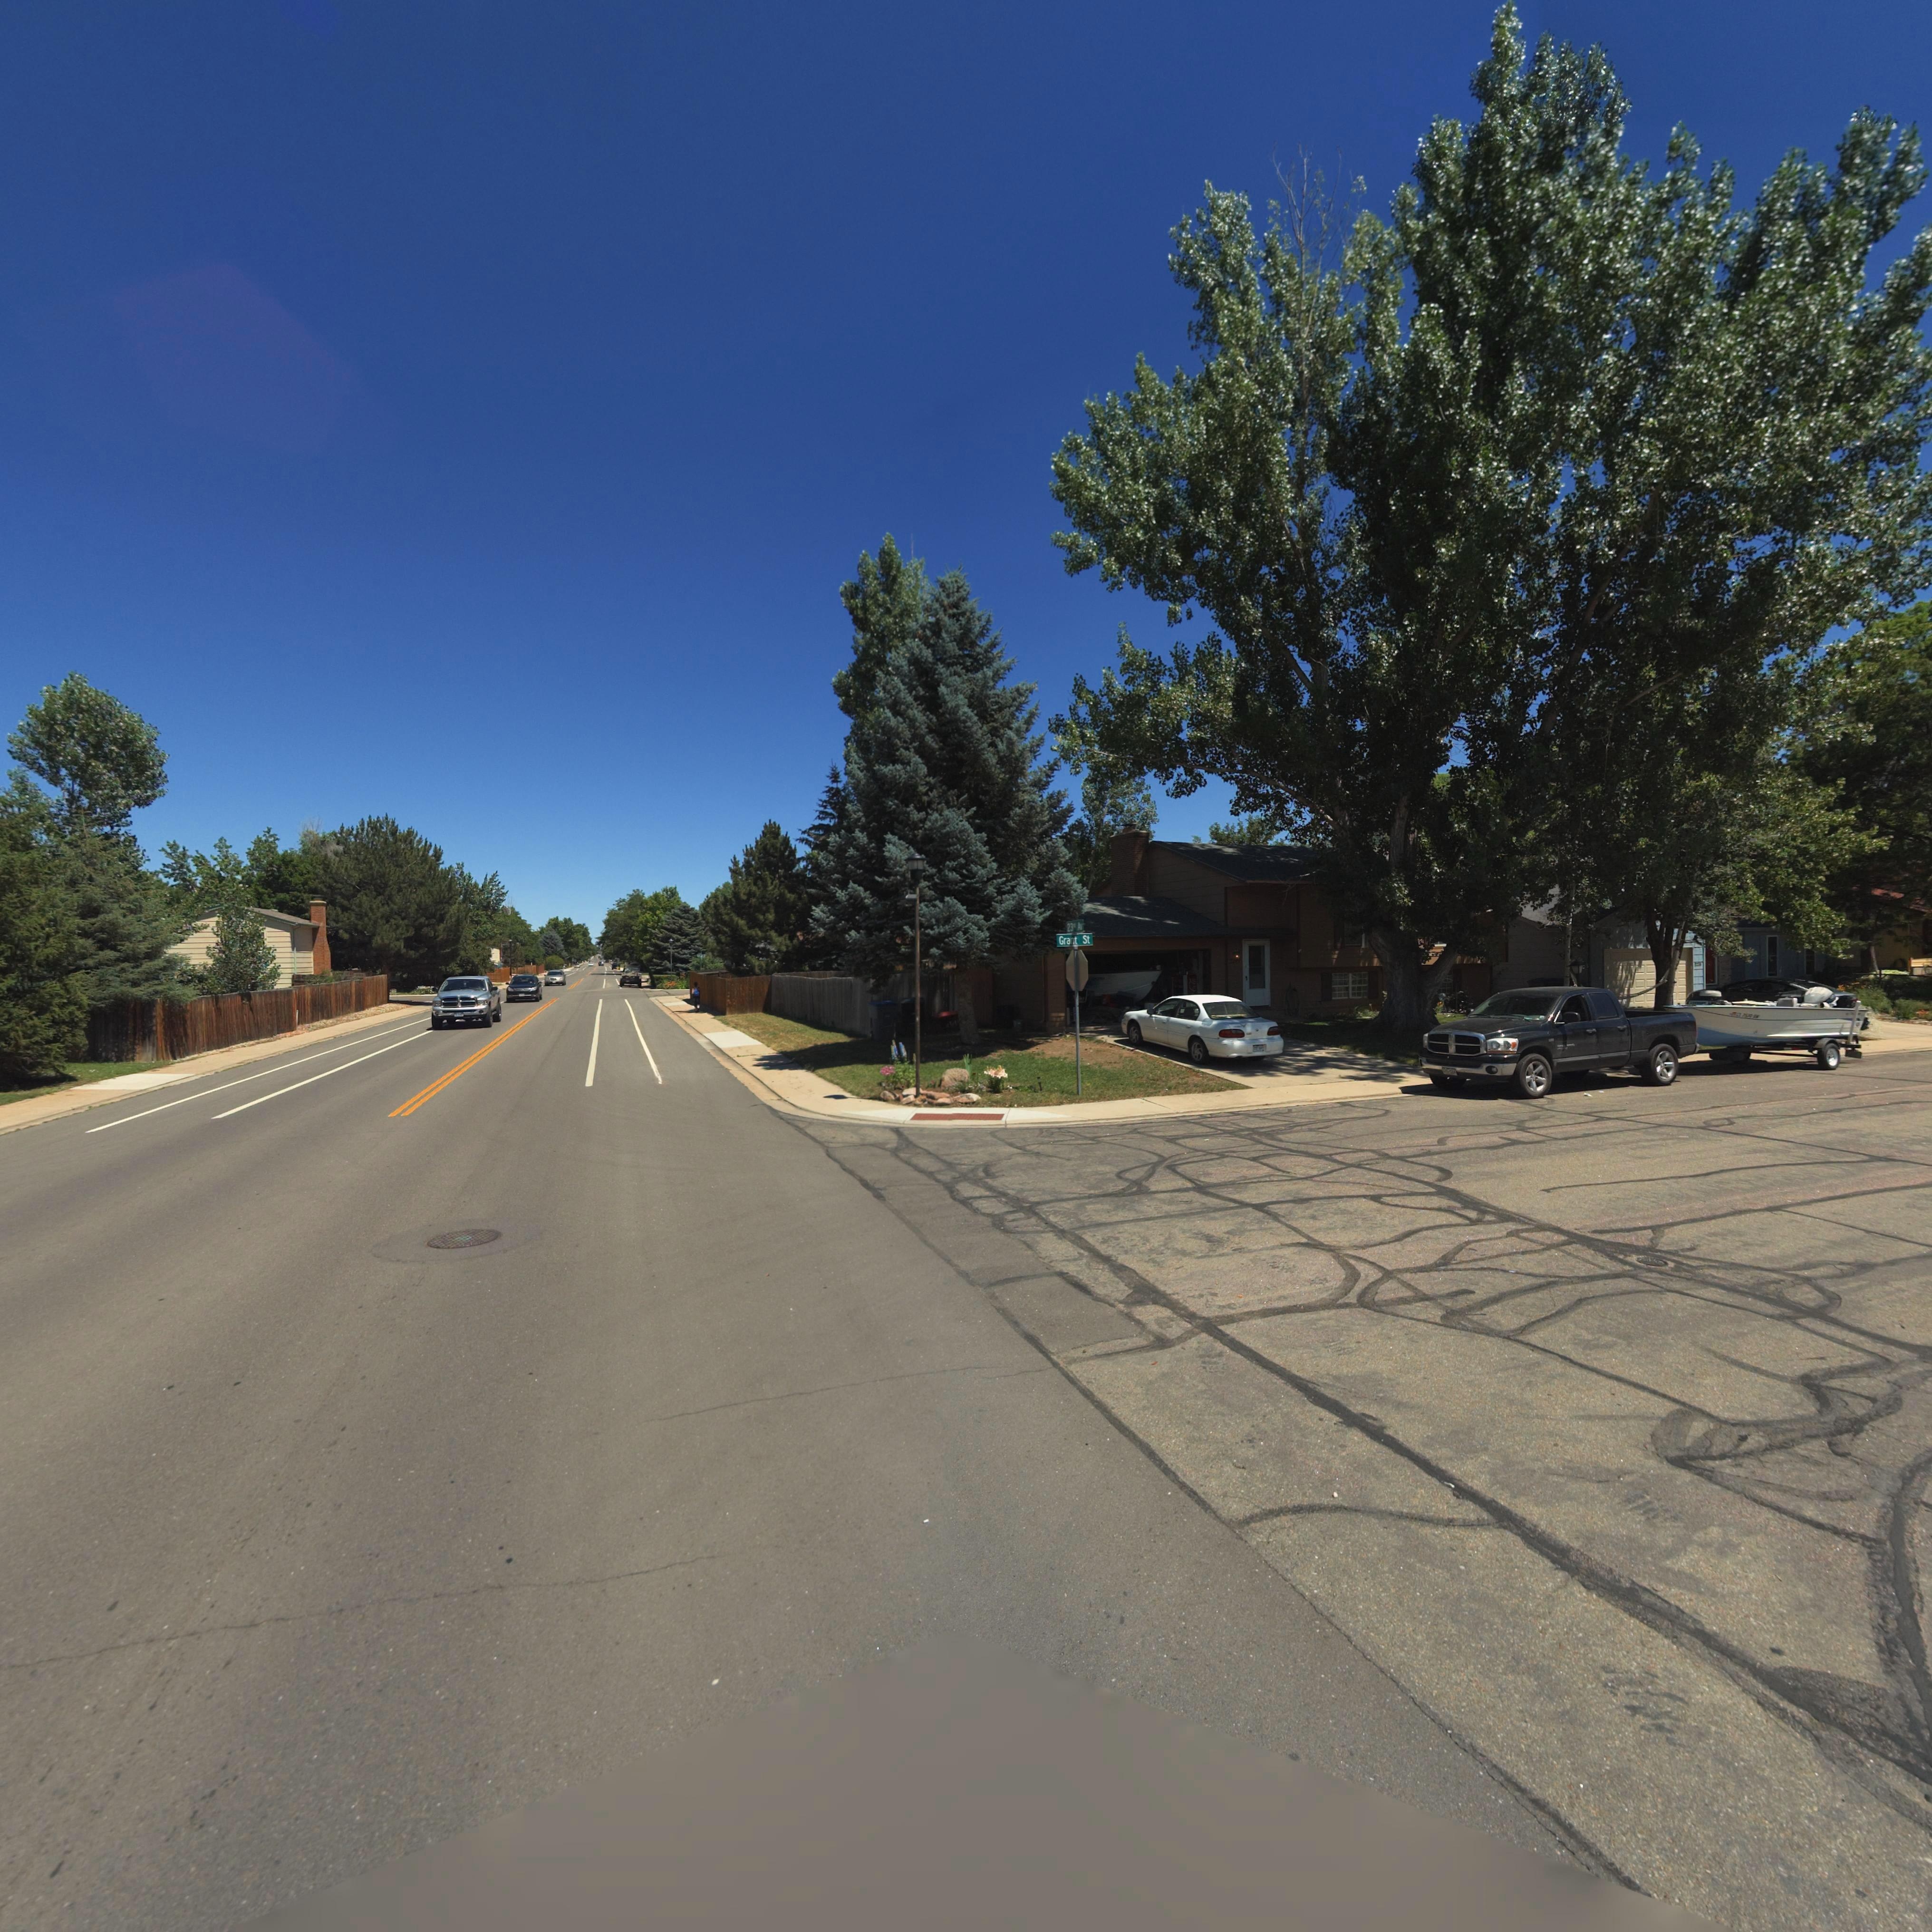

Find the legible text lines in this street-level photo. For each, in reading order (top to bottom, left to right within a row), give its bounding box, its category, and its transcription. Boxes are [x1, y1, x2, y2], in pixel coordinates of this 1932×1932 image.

[1066, 921, 1083, 932] StreetName: 23**A*
[1058, 935, 1091, 945] StreetName: Grant St